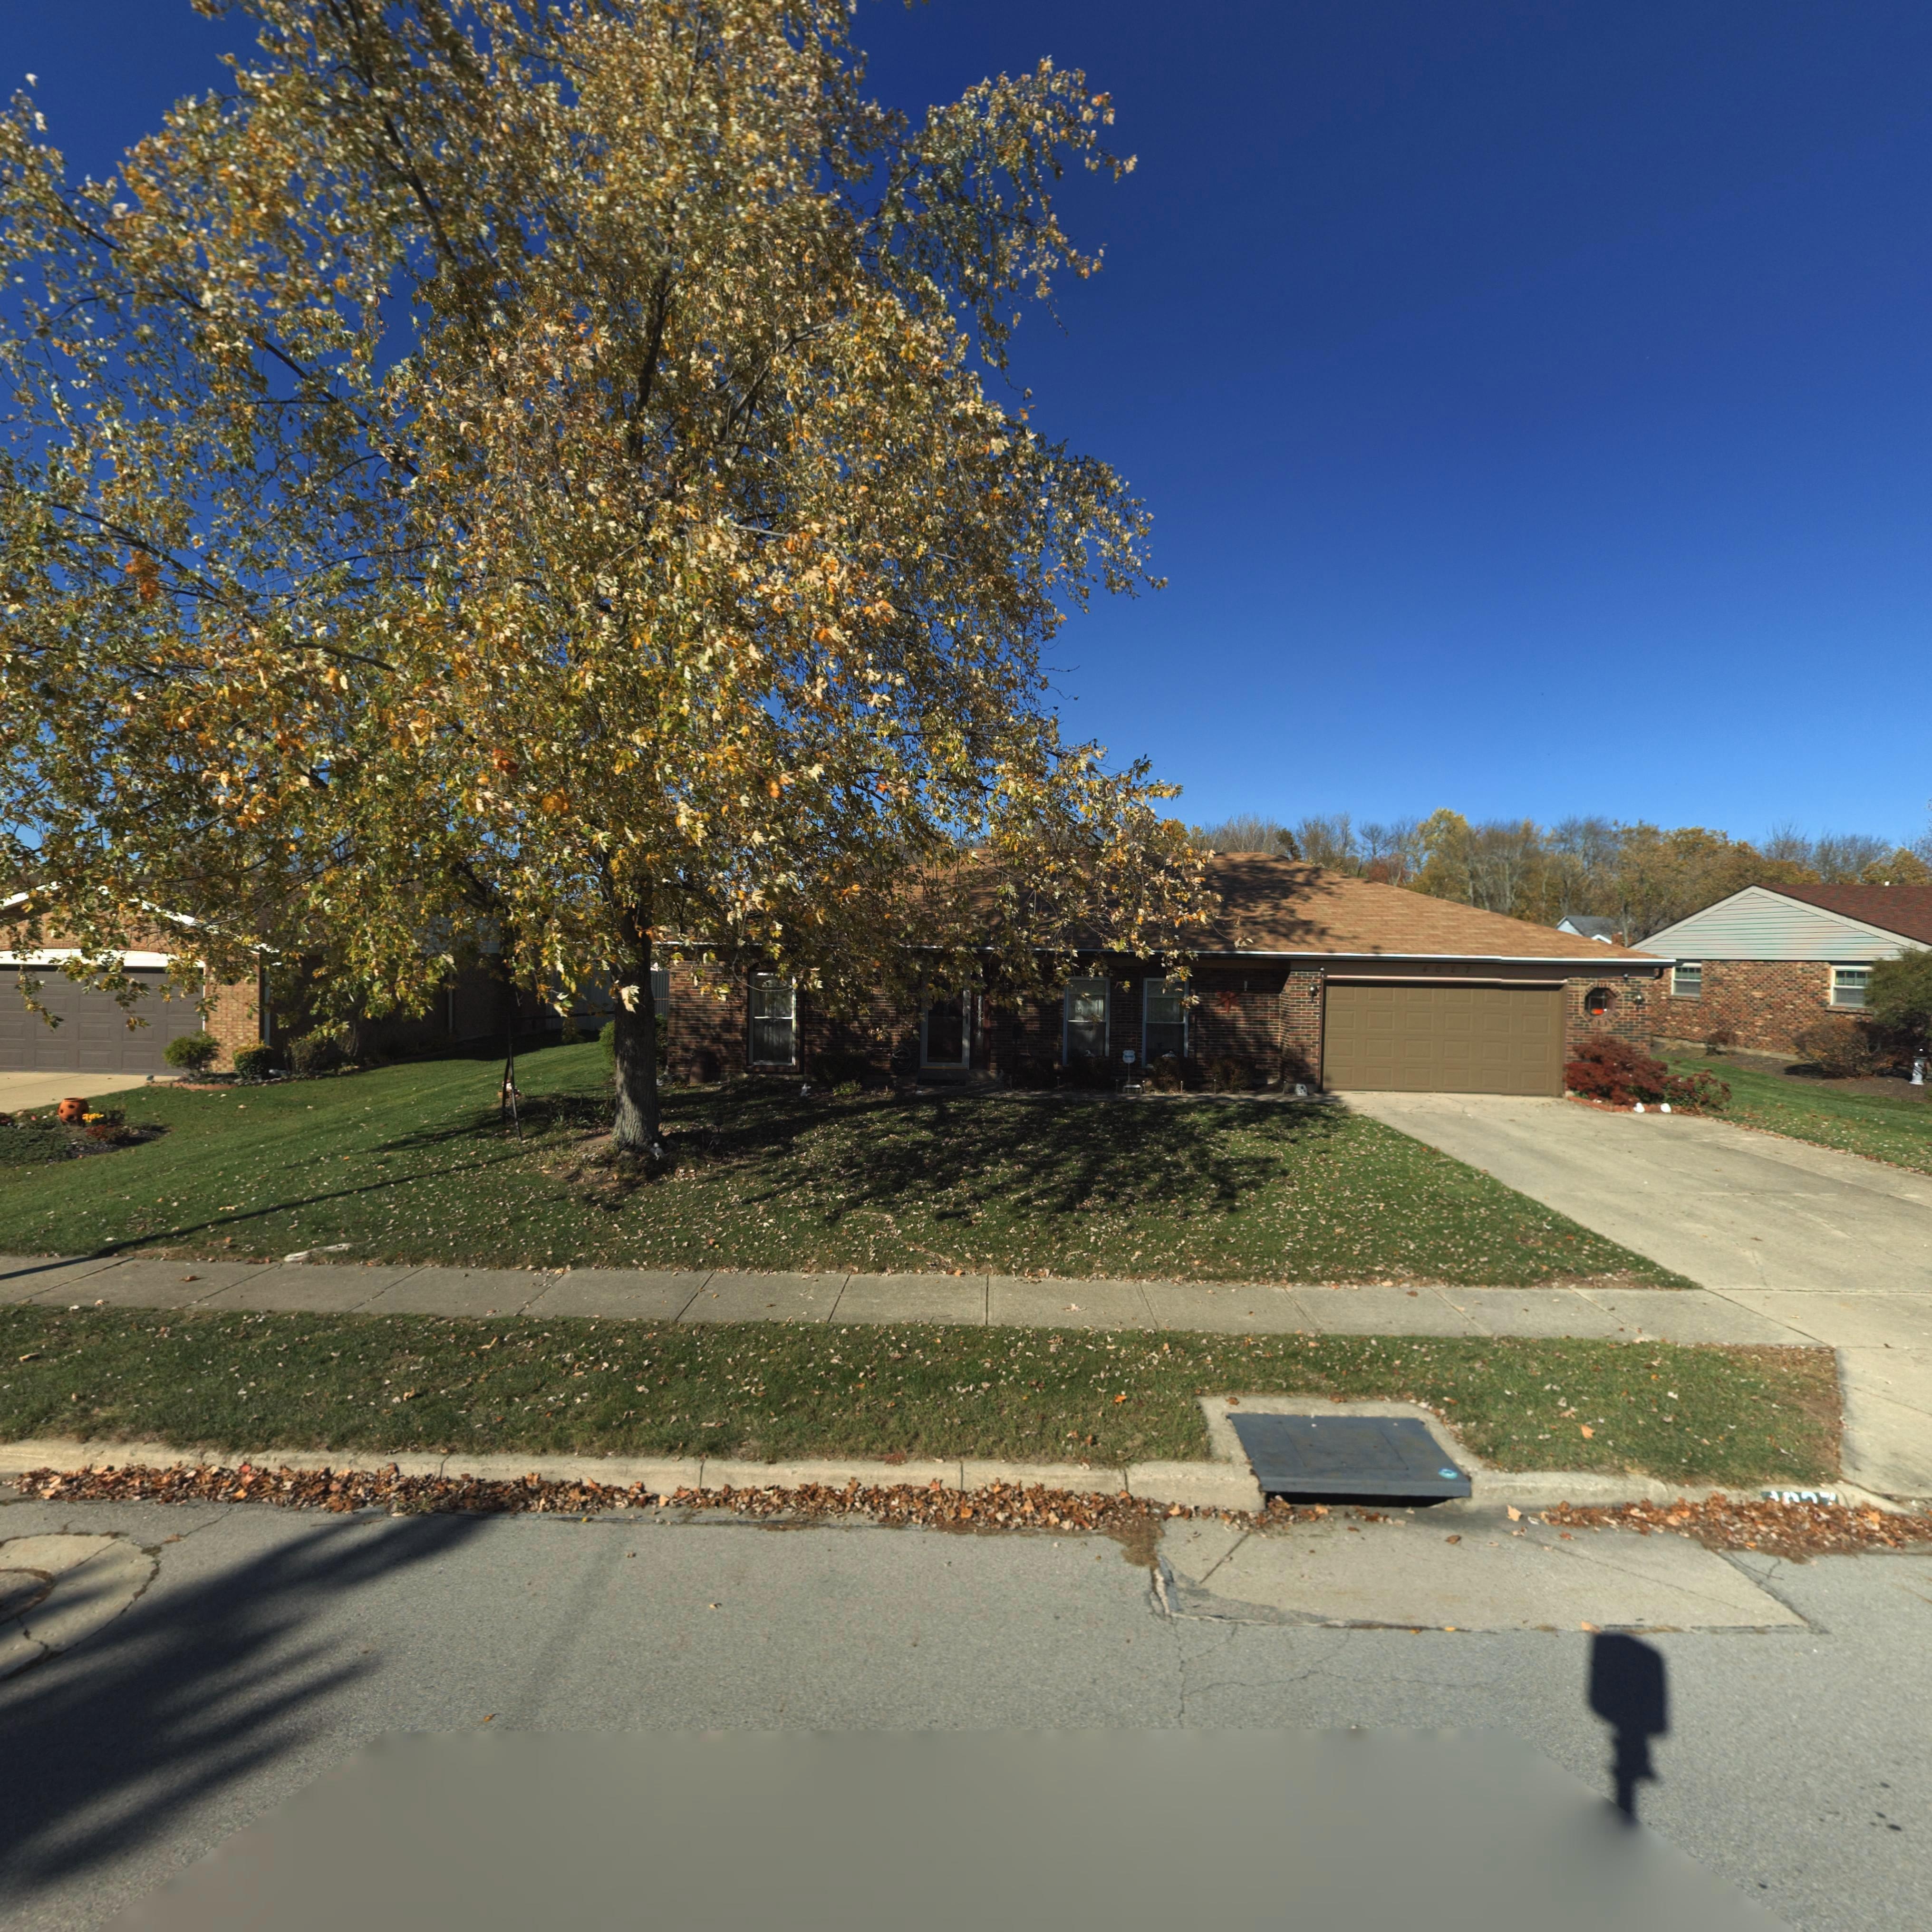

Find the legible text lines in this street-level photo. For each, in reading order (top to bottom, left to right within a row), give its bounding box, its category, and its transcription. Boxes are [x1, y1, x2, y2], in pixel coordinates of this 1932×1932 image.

[1421, 964, 1471, 974] StreetNumber: 4027